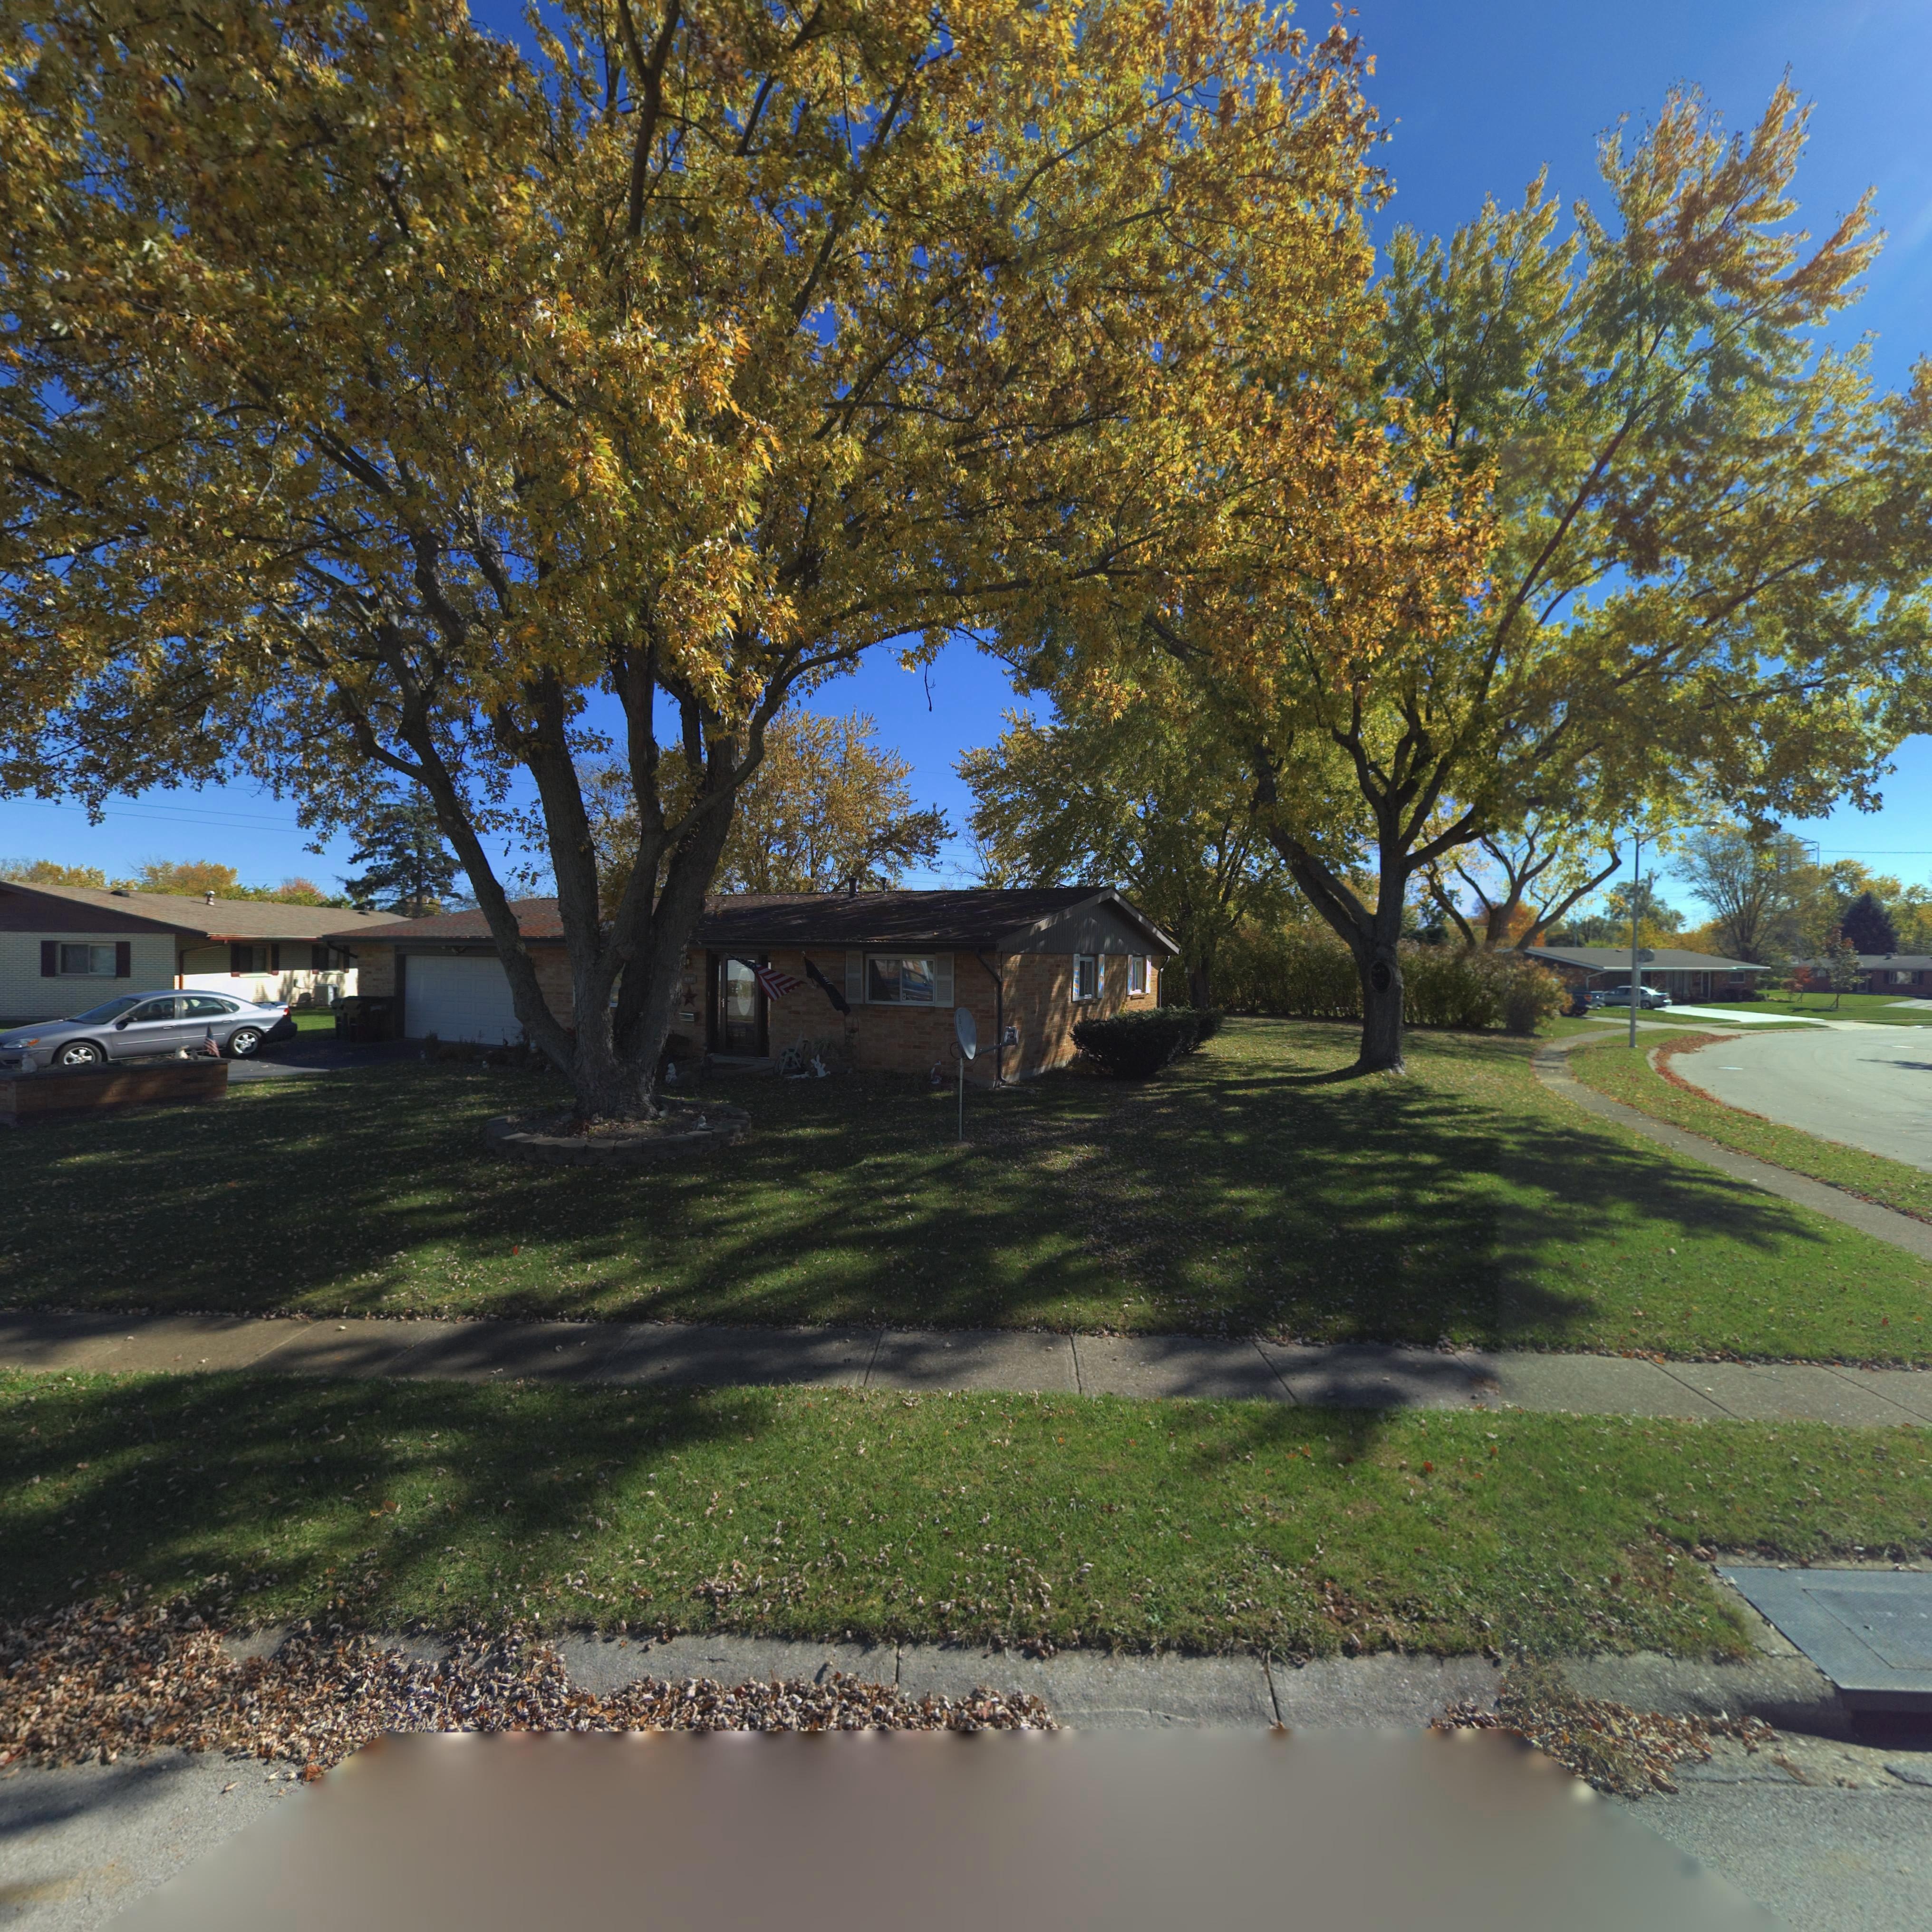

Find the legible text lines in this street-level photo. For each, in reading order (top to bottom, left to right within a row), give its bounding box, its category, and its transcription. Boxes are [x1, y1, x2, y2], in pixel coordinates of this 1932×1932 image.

[684, 977, 694, 982] StreetNumber: **0